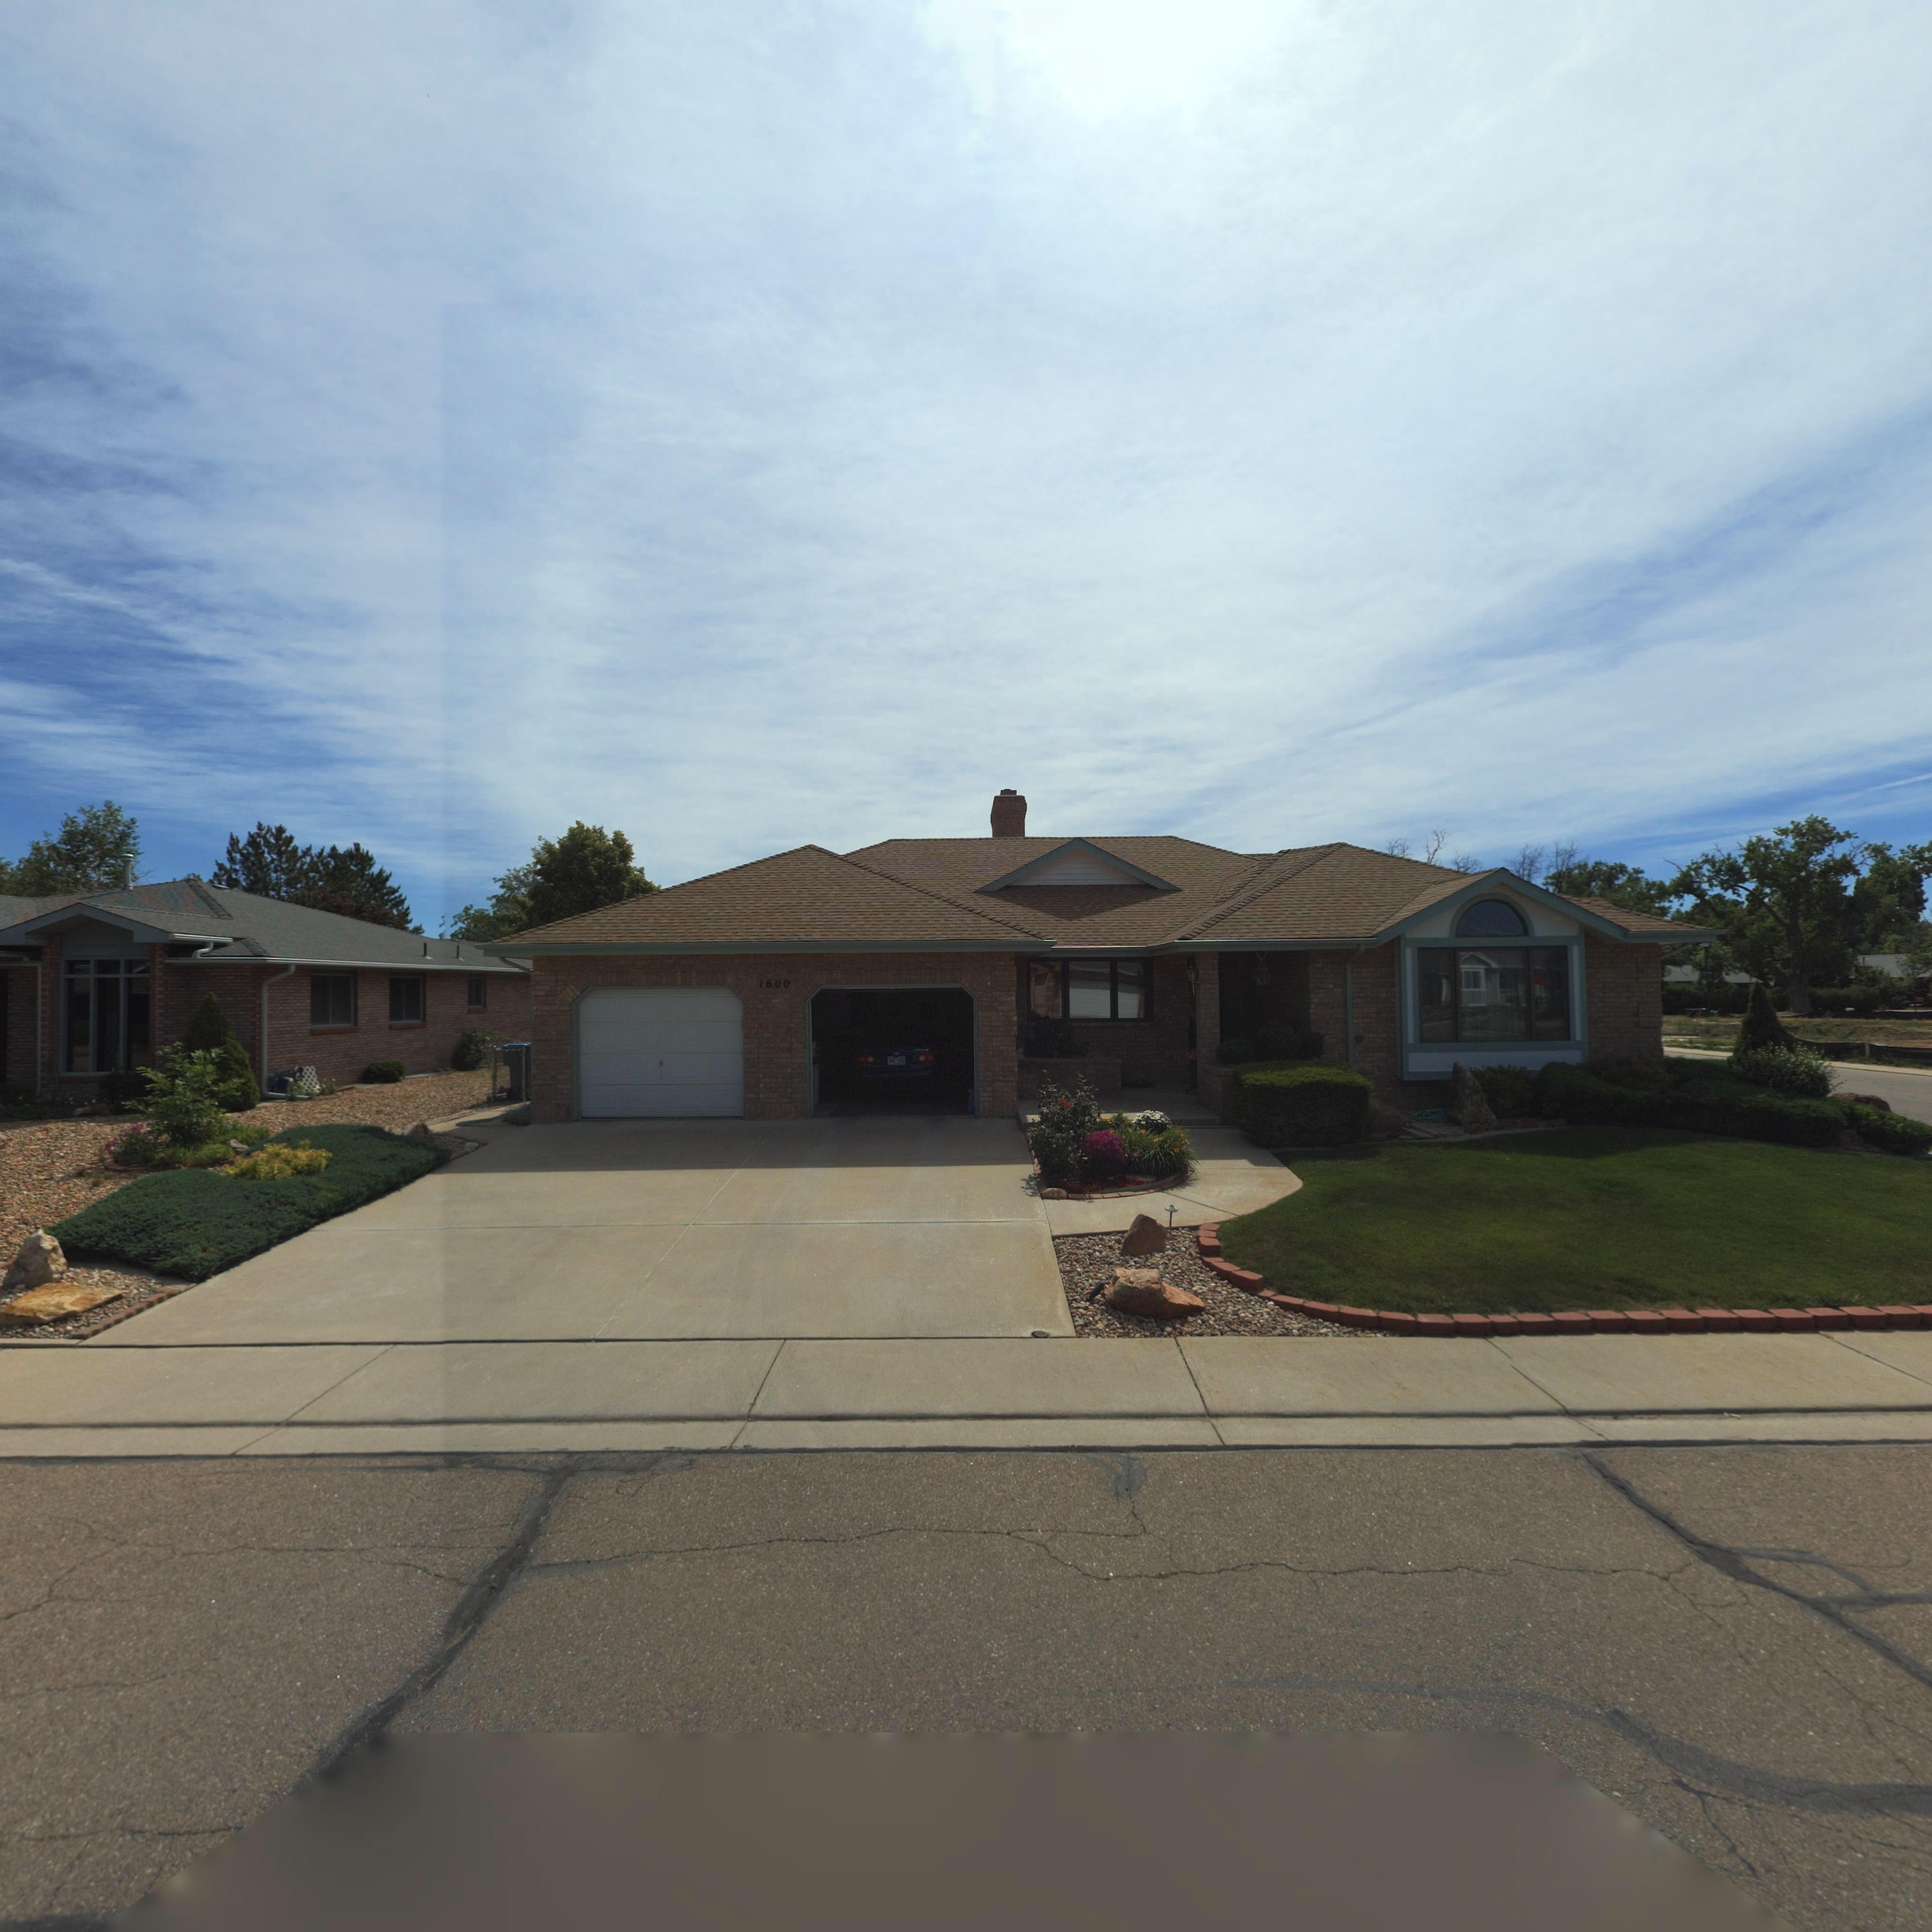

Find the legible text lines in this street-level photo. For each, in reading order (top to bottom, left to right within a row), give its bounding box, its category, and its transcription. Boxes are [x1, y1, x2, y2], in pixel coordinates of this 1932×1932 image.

[759, 978, 790, 988] StreetNumber: 1600